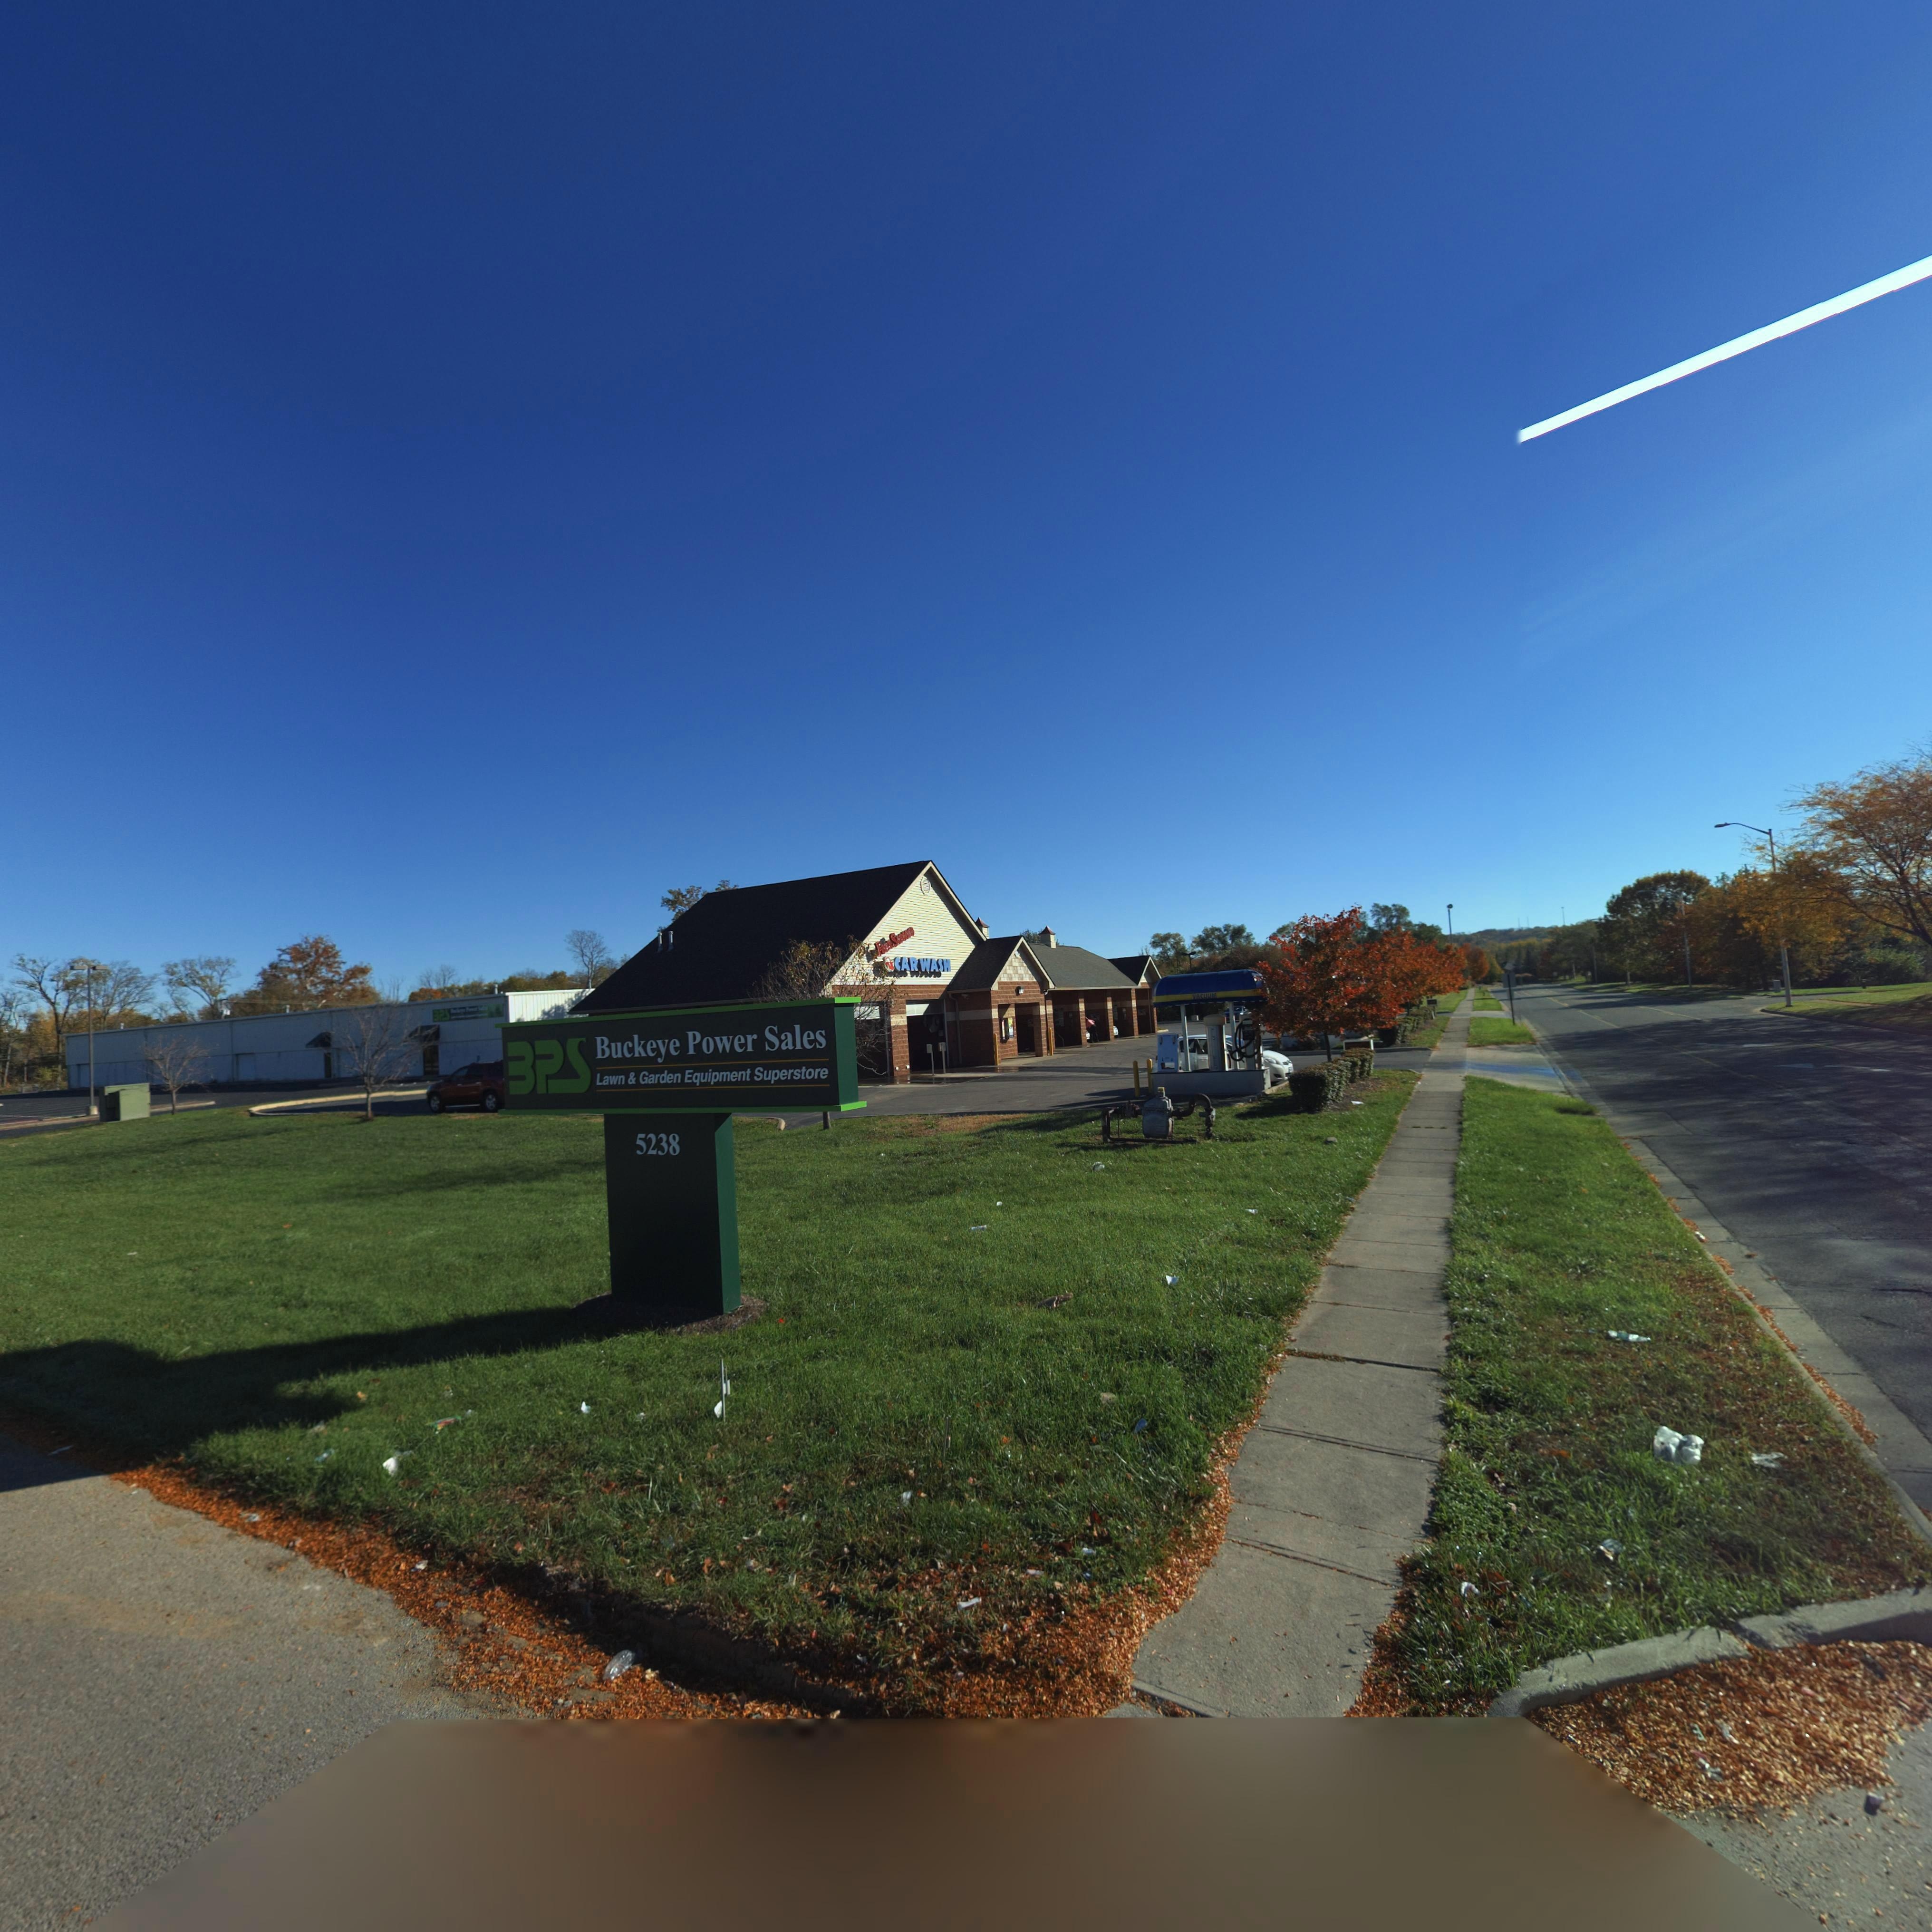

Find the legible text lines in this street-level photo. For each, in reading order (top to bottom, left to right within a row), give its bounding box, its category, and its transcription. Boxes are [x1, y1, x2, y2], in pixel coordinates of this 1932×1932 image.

[632, 1131, 682, 1157] StreetNumber: 5238